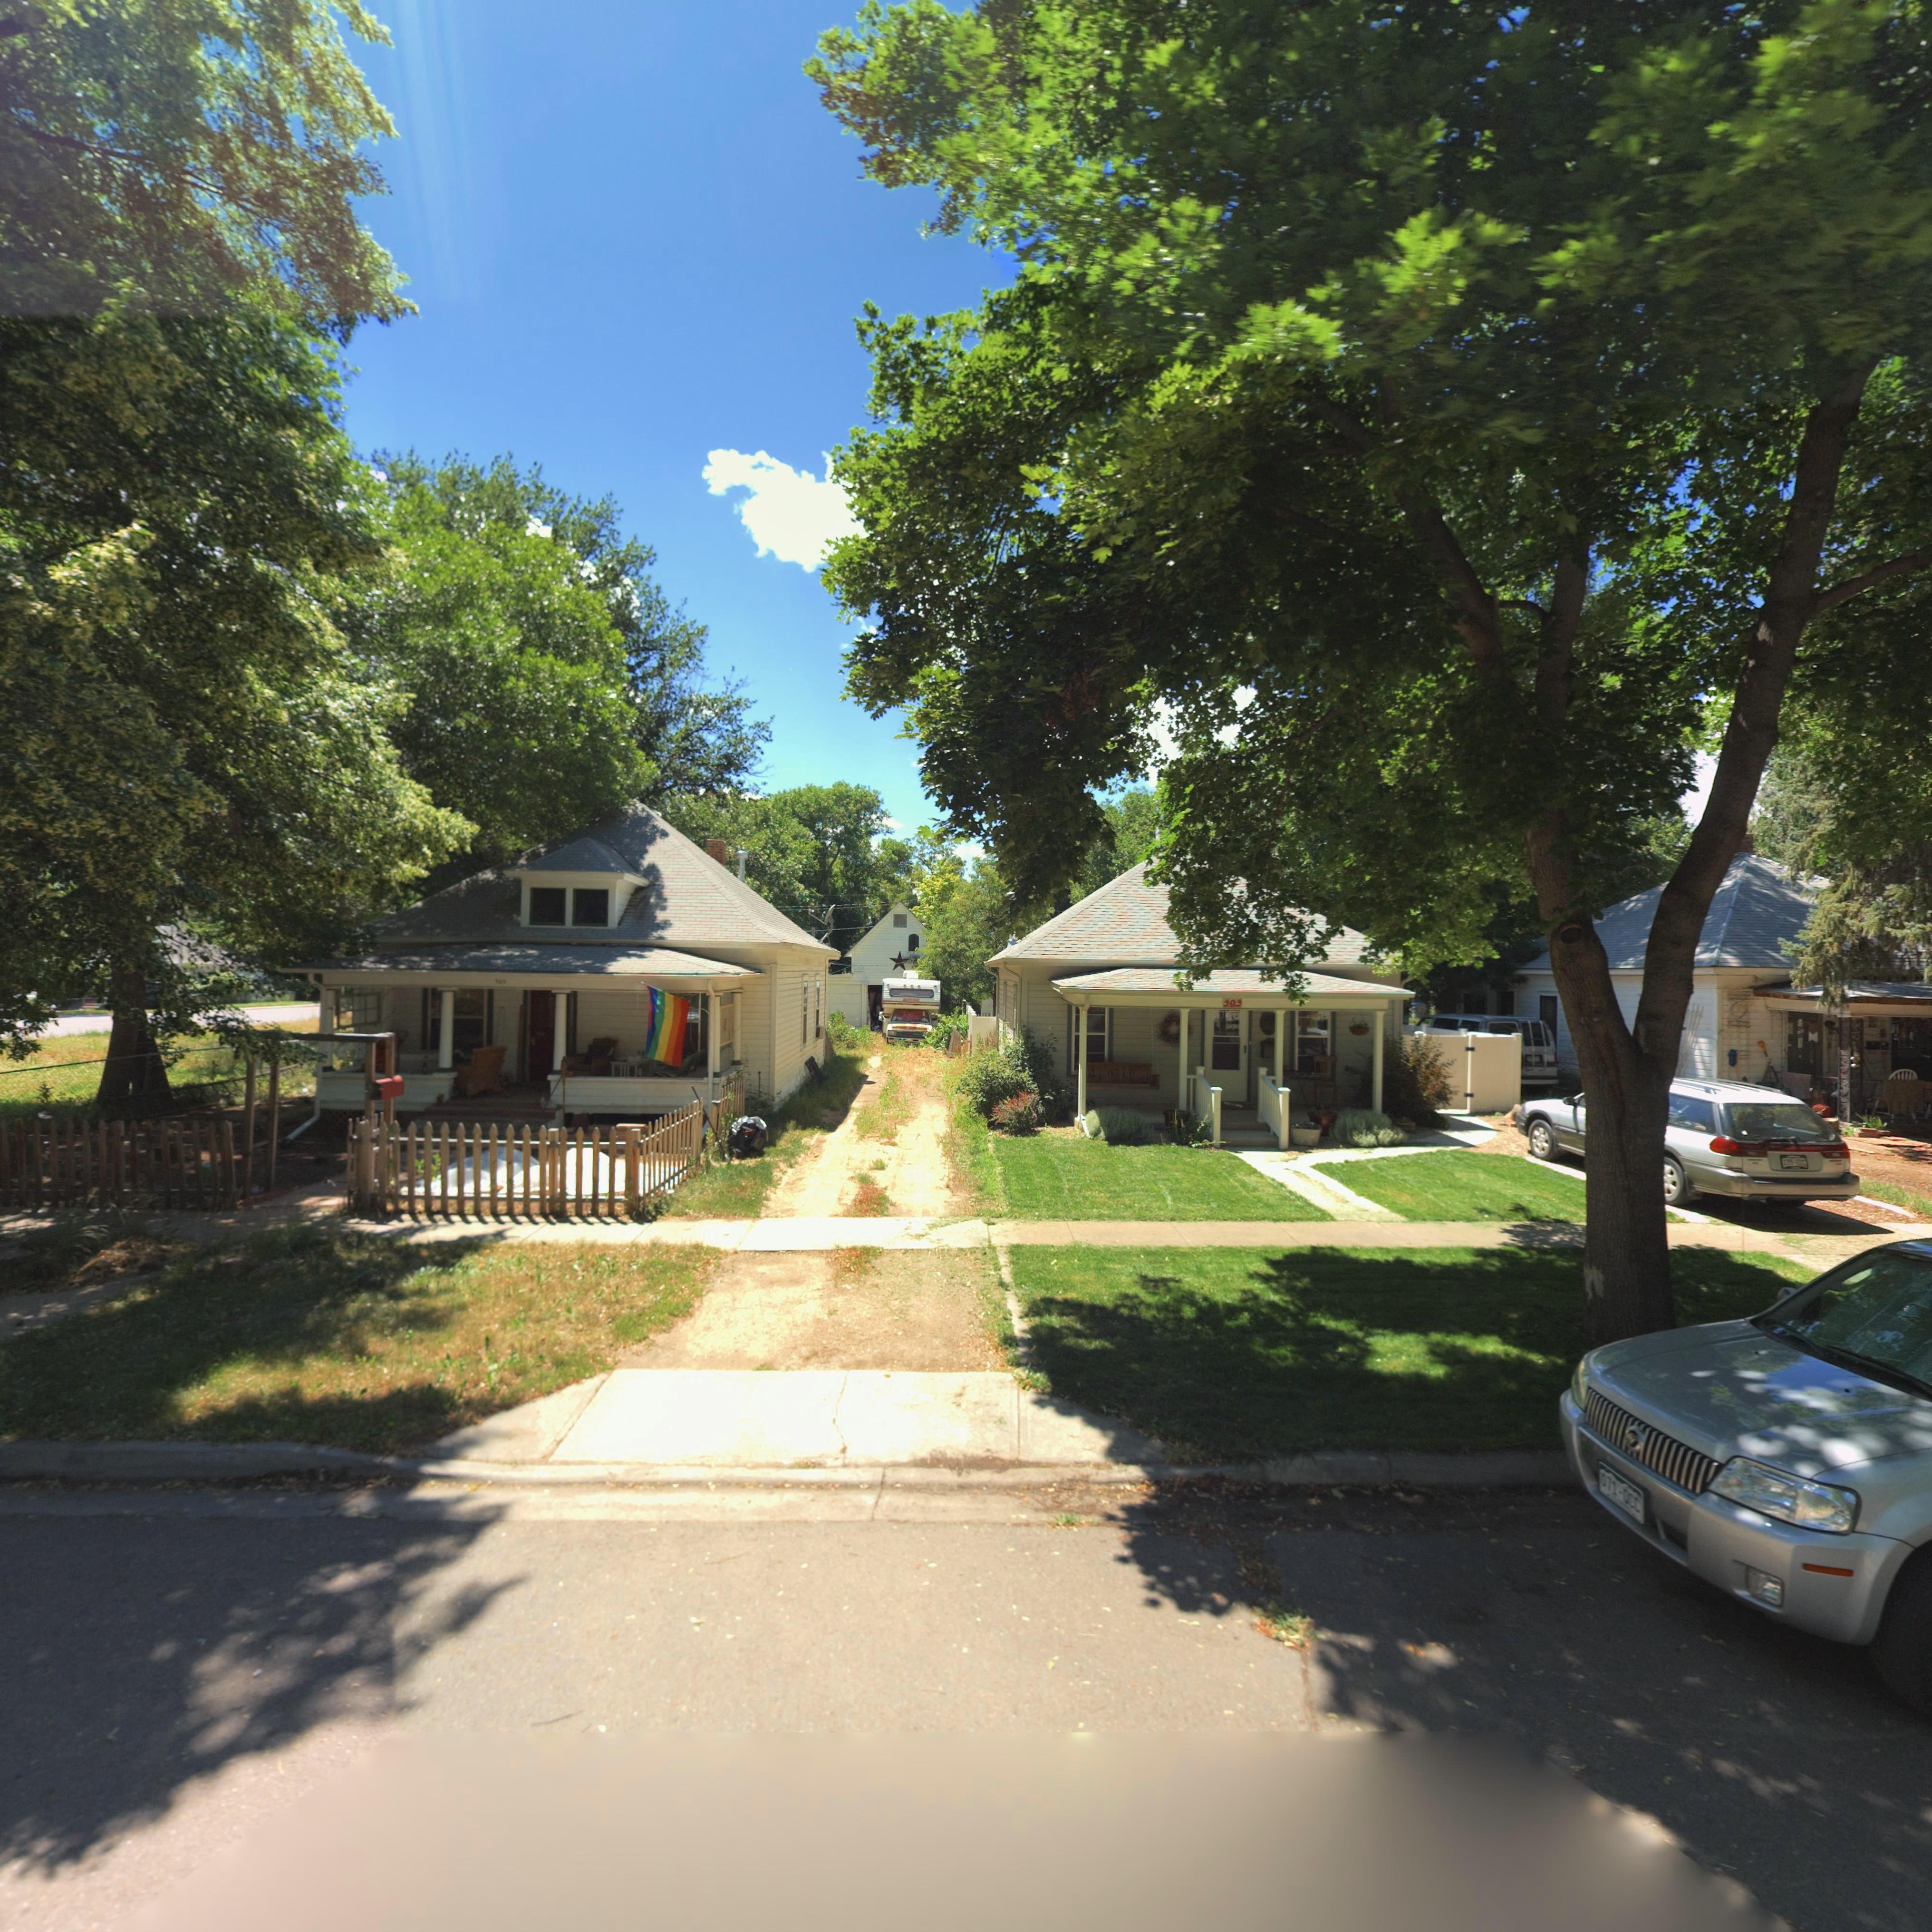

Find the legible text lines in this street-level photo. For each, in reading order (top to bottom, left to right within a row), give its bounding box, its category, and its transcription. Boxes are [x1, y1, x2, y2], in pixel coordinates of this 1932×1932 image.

[494, 977, 507, 985] StreetNumber: *05
[1223, 998, 1241, 1006] StreetNumber: 909